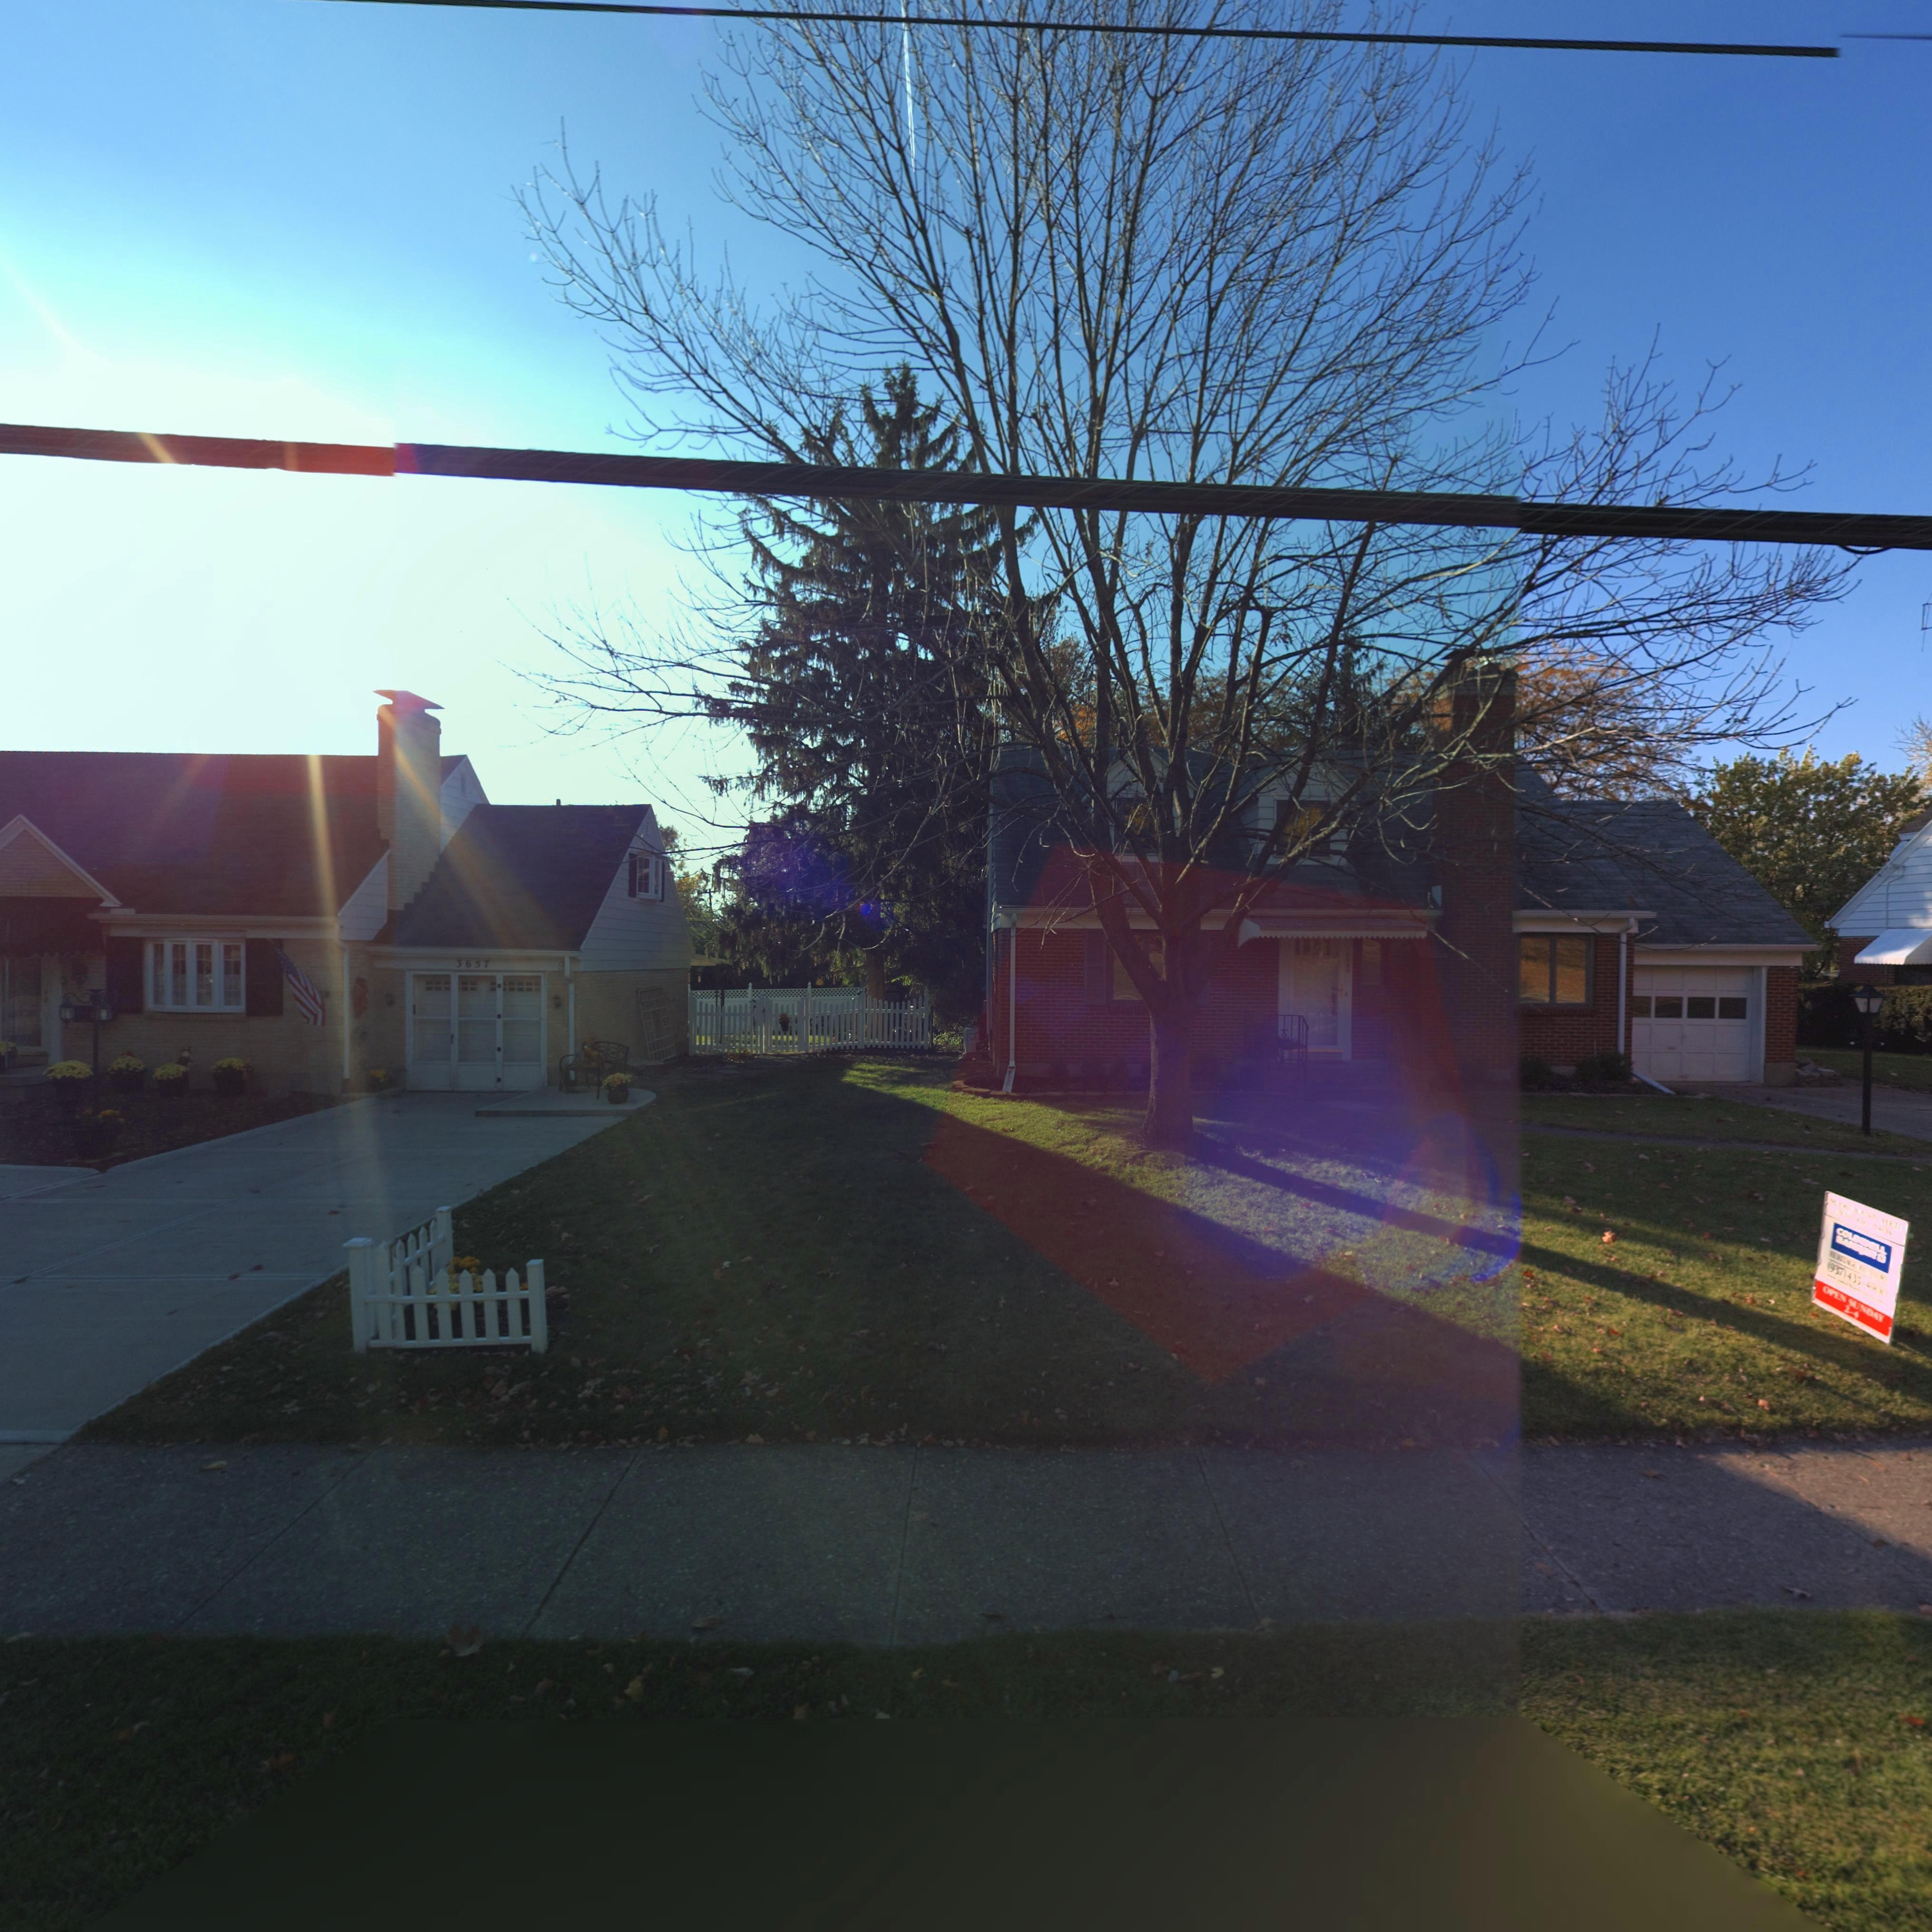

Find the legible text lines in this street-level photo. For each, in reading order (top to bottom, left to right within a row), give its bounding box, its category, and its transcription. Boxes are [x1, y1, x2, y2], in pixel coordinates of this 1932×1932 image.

[455, 958, 490, 968] StreetNumber: 3657